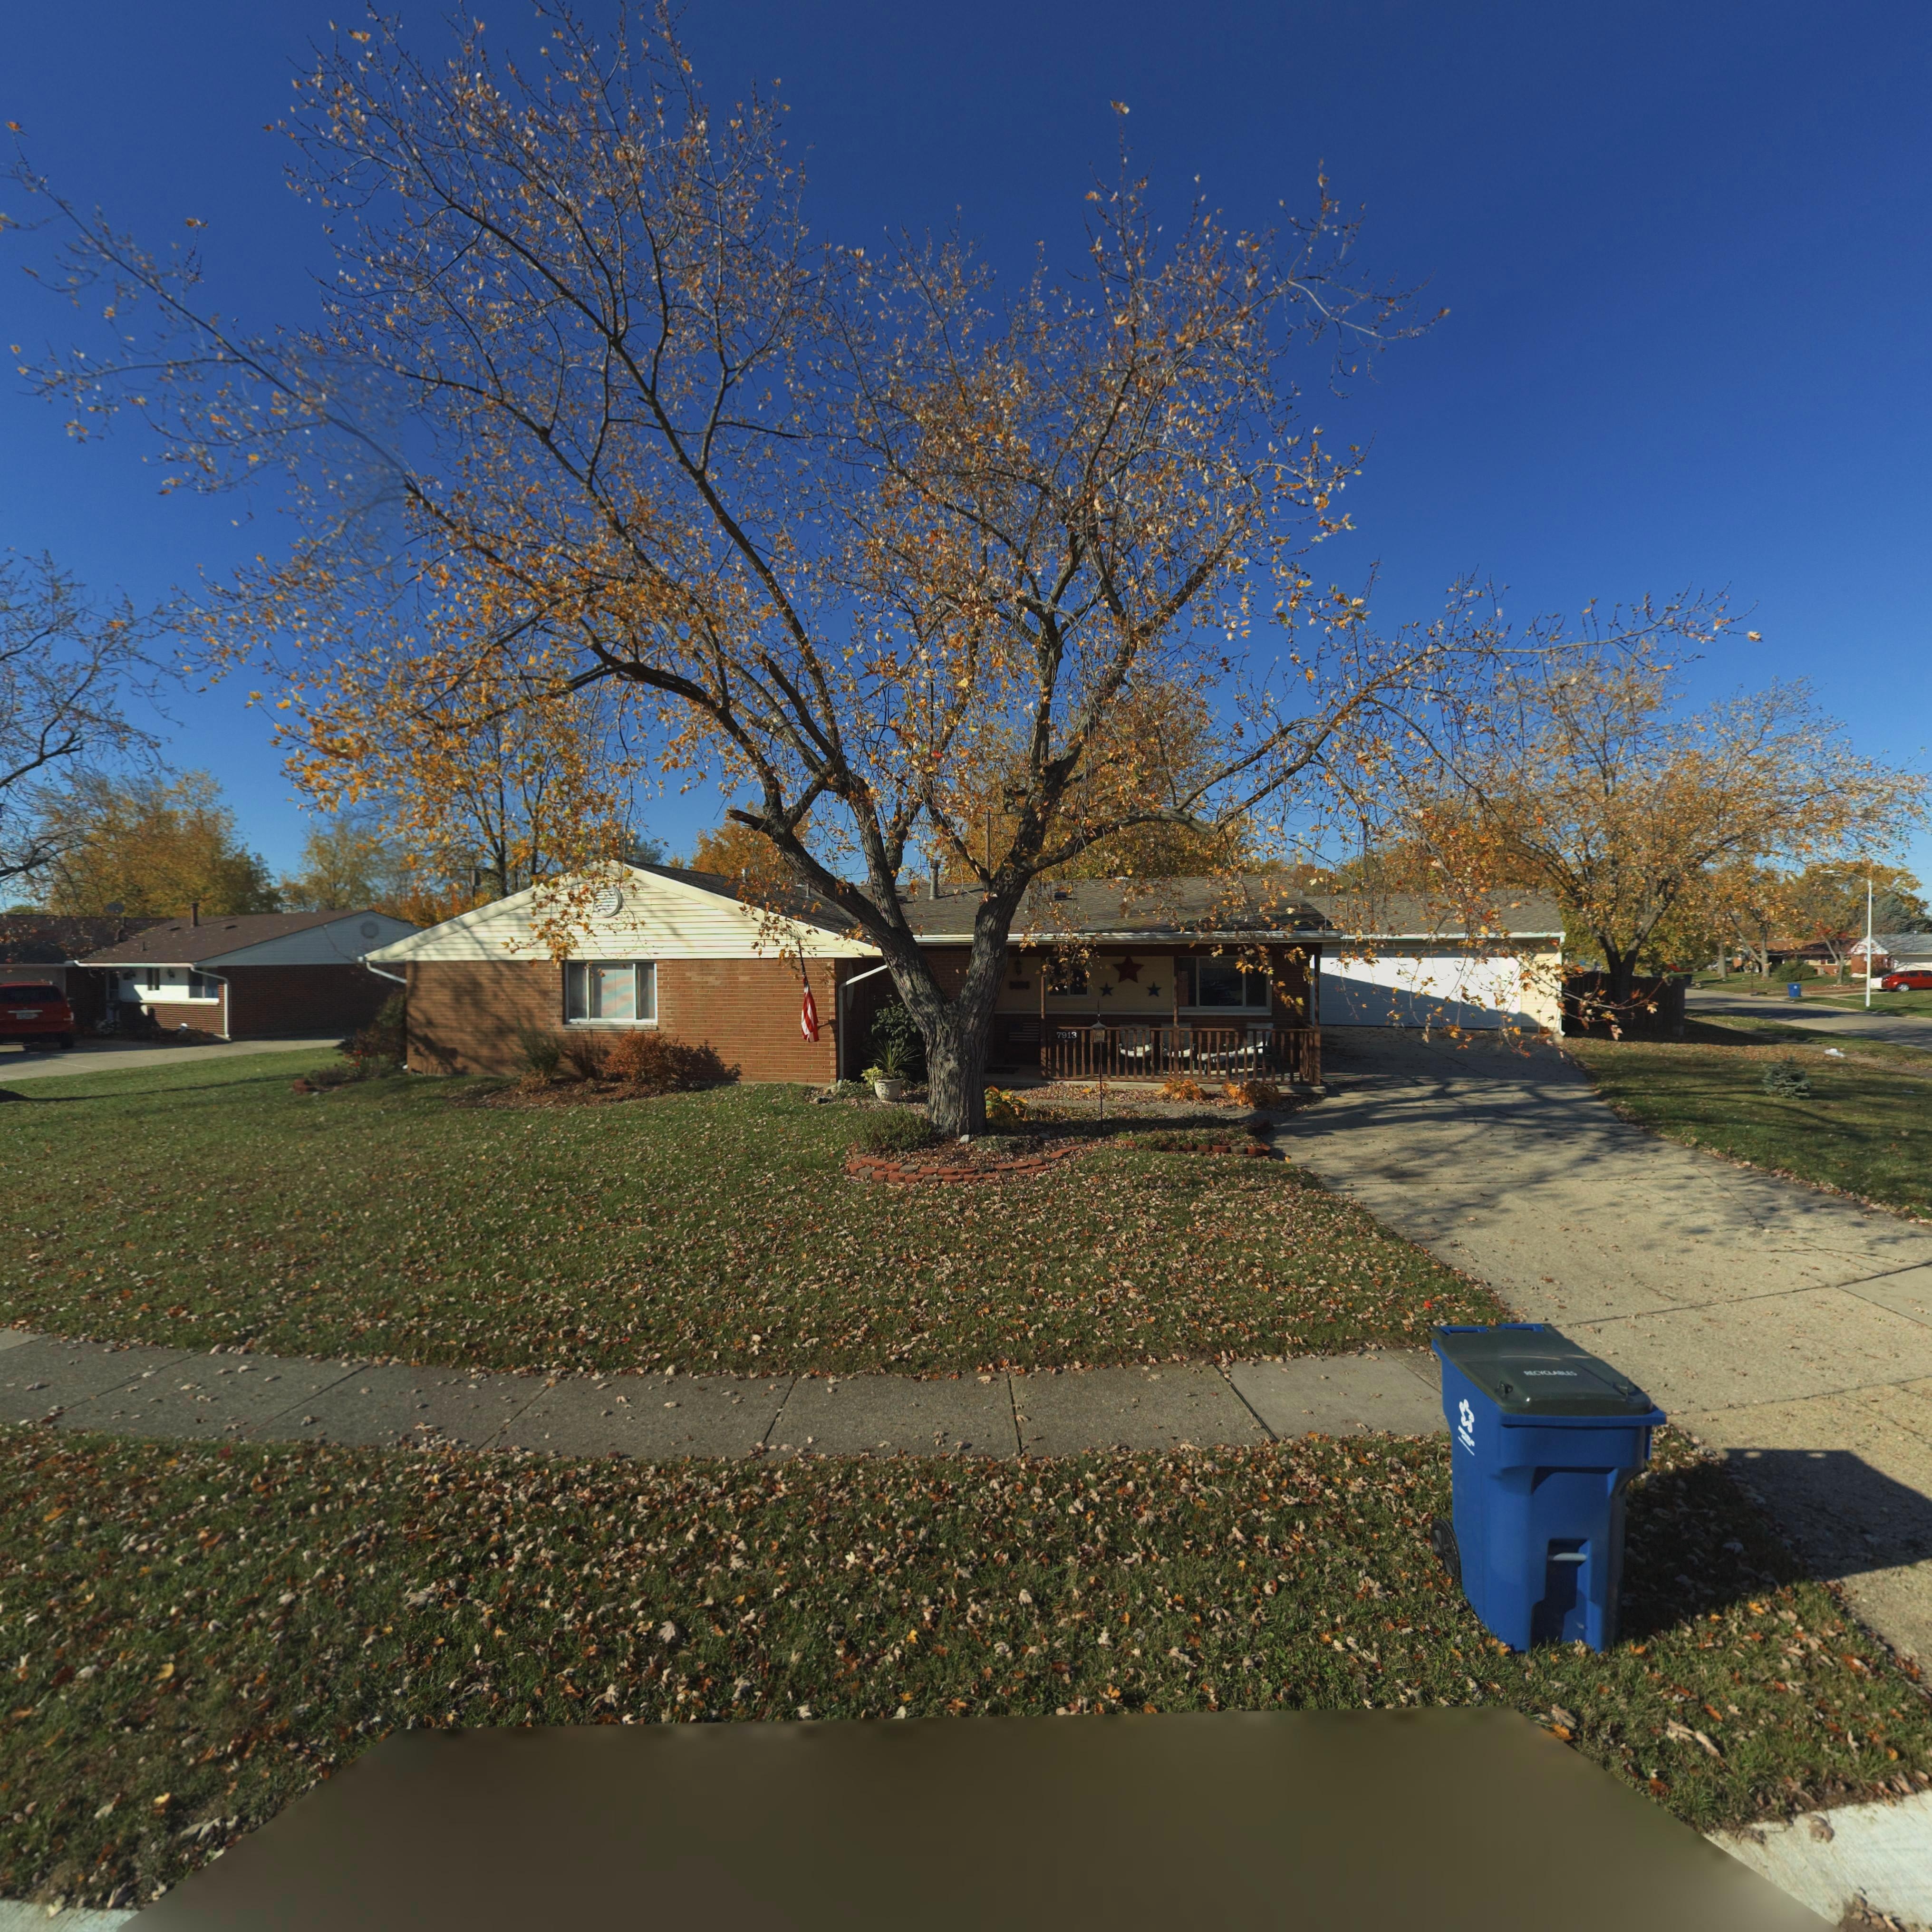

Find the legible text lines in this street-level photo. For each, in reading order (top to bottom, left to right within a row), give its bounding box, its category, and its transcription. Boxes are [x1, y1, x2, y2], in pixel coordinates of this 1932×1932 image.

[1055, 1031, 1078, 1039] StreetNumber: 7913